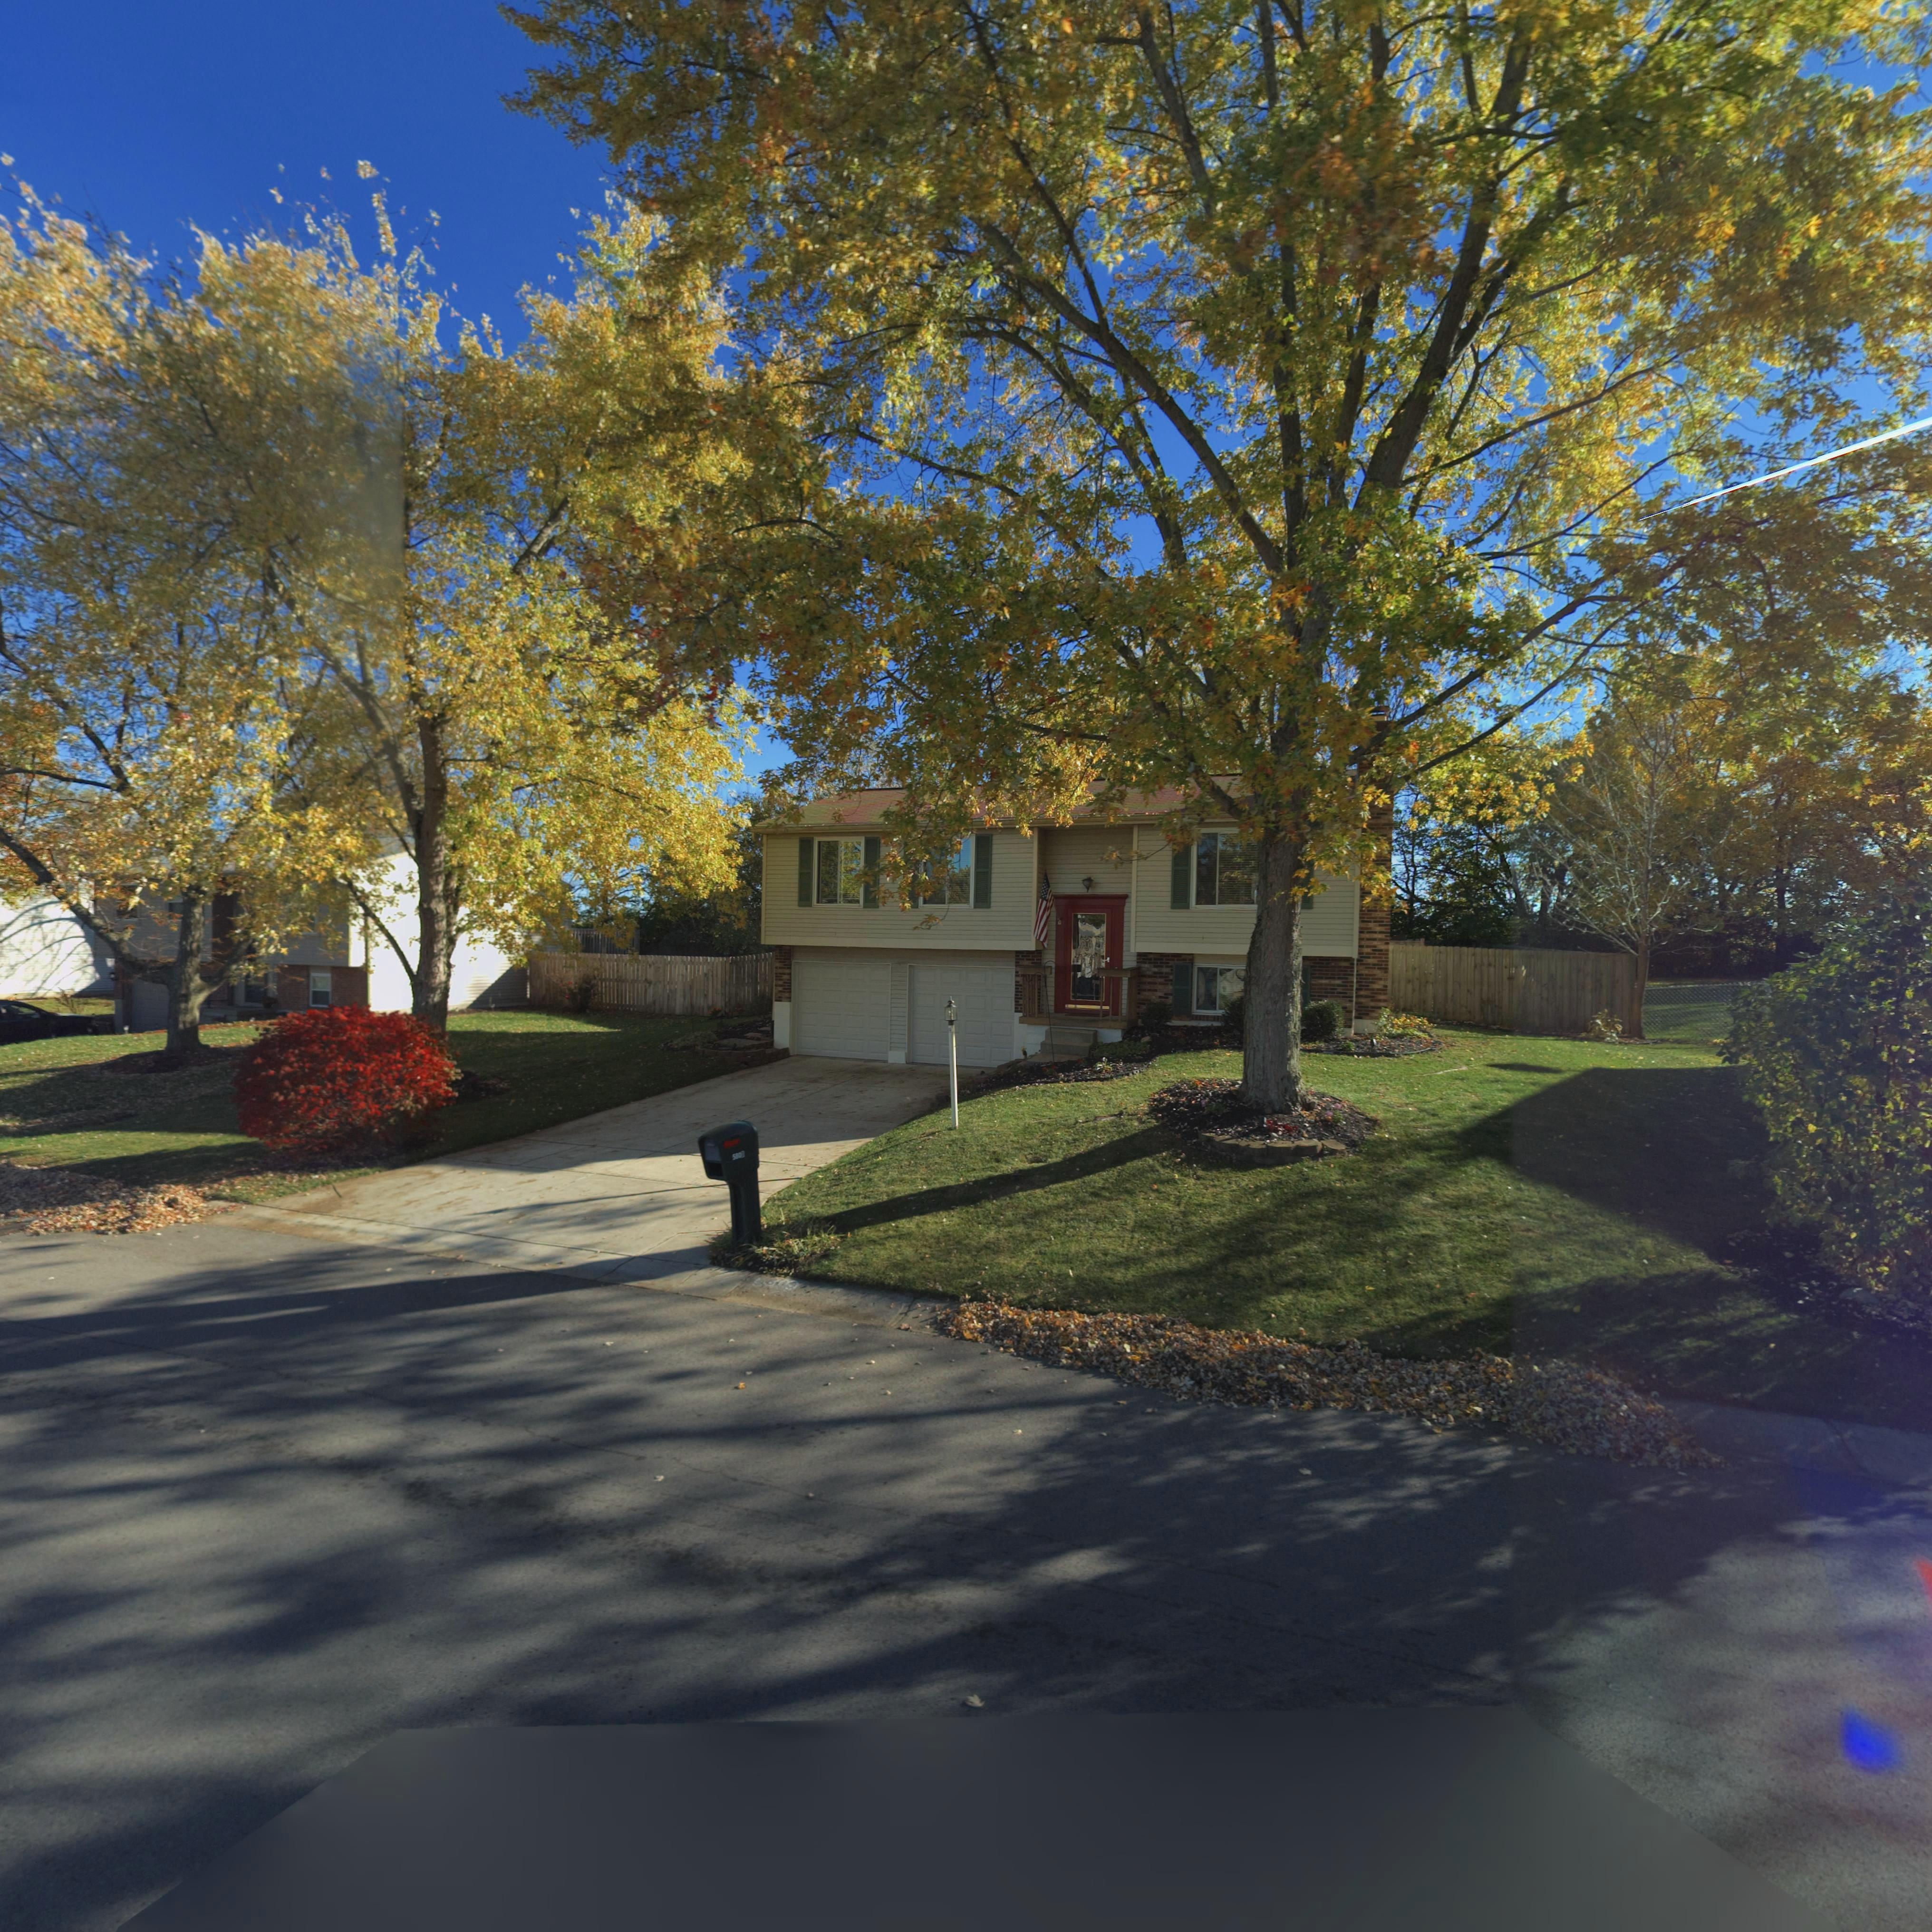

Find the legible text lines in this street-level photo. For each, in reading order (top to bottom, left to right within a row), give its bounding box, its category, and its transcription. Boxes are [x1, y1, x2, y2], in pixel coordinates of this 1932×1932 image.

[731, 1149, 746, 1162] StreetNumber: 580*